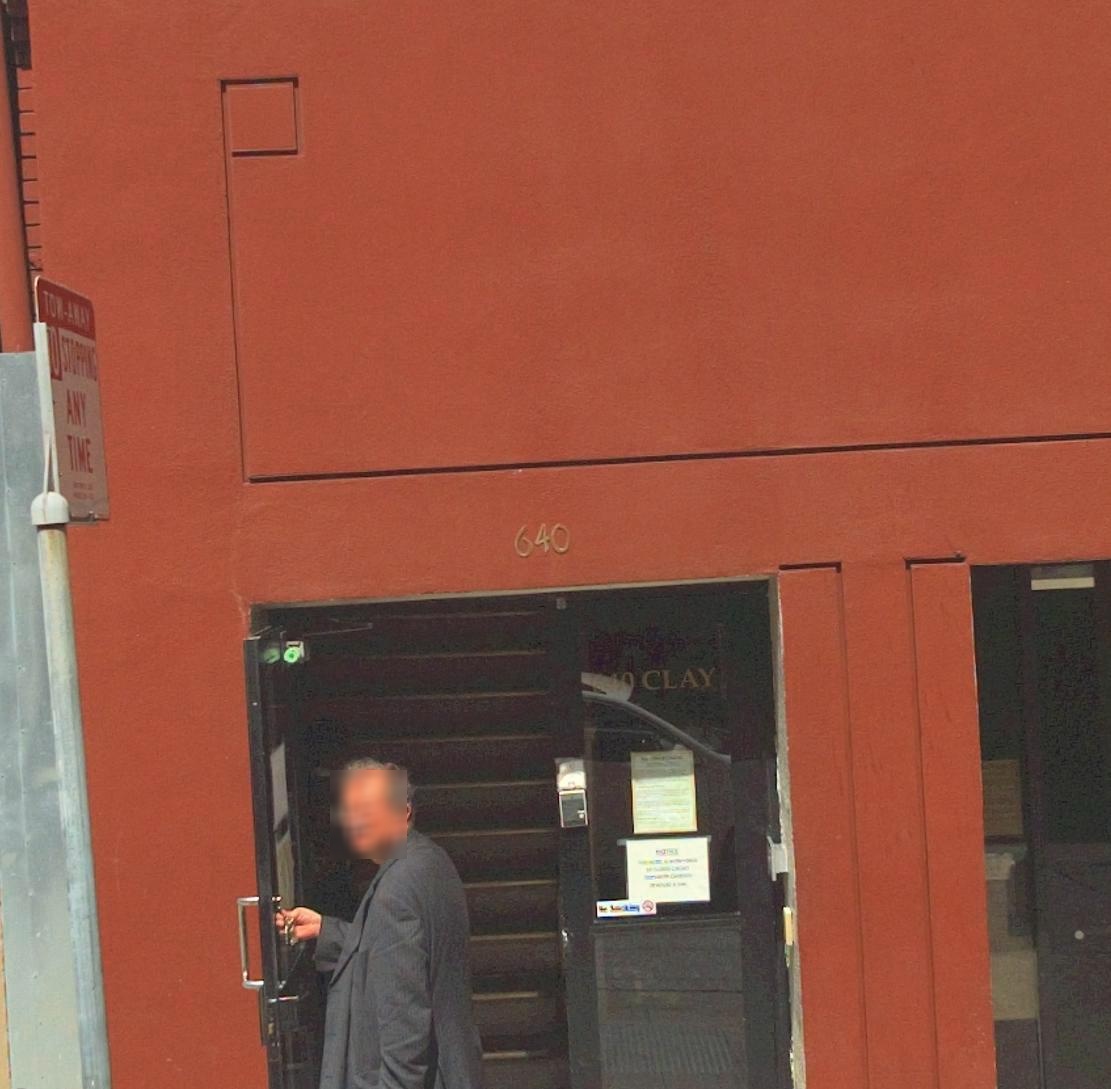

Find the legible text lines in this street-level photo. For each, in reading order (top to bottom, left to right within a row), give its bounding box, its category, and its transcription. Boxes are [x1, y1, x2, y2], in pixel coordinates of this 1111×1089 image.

[42, 287, 92, 334] None: TOW-AWAY
[47, 323, 98, 385] None: O STOPPING
[64, 387, 89, 429] None: ANY
[63, 434, 97, 475] None: TIME
[510, 519, 571, 560] StreetNumber: 640
[589, 668, 637, 697] StreetNumber: 640
[640, 664, 718, 692] StreetName: CLAY